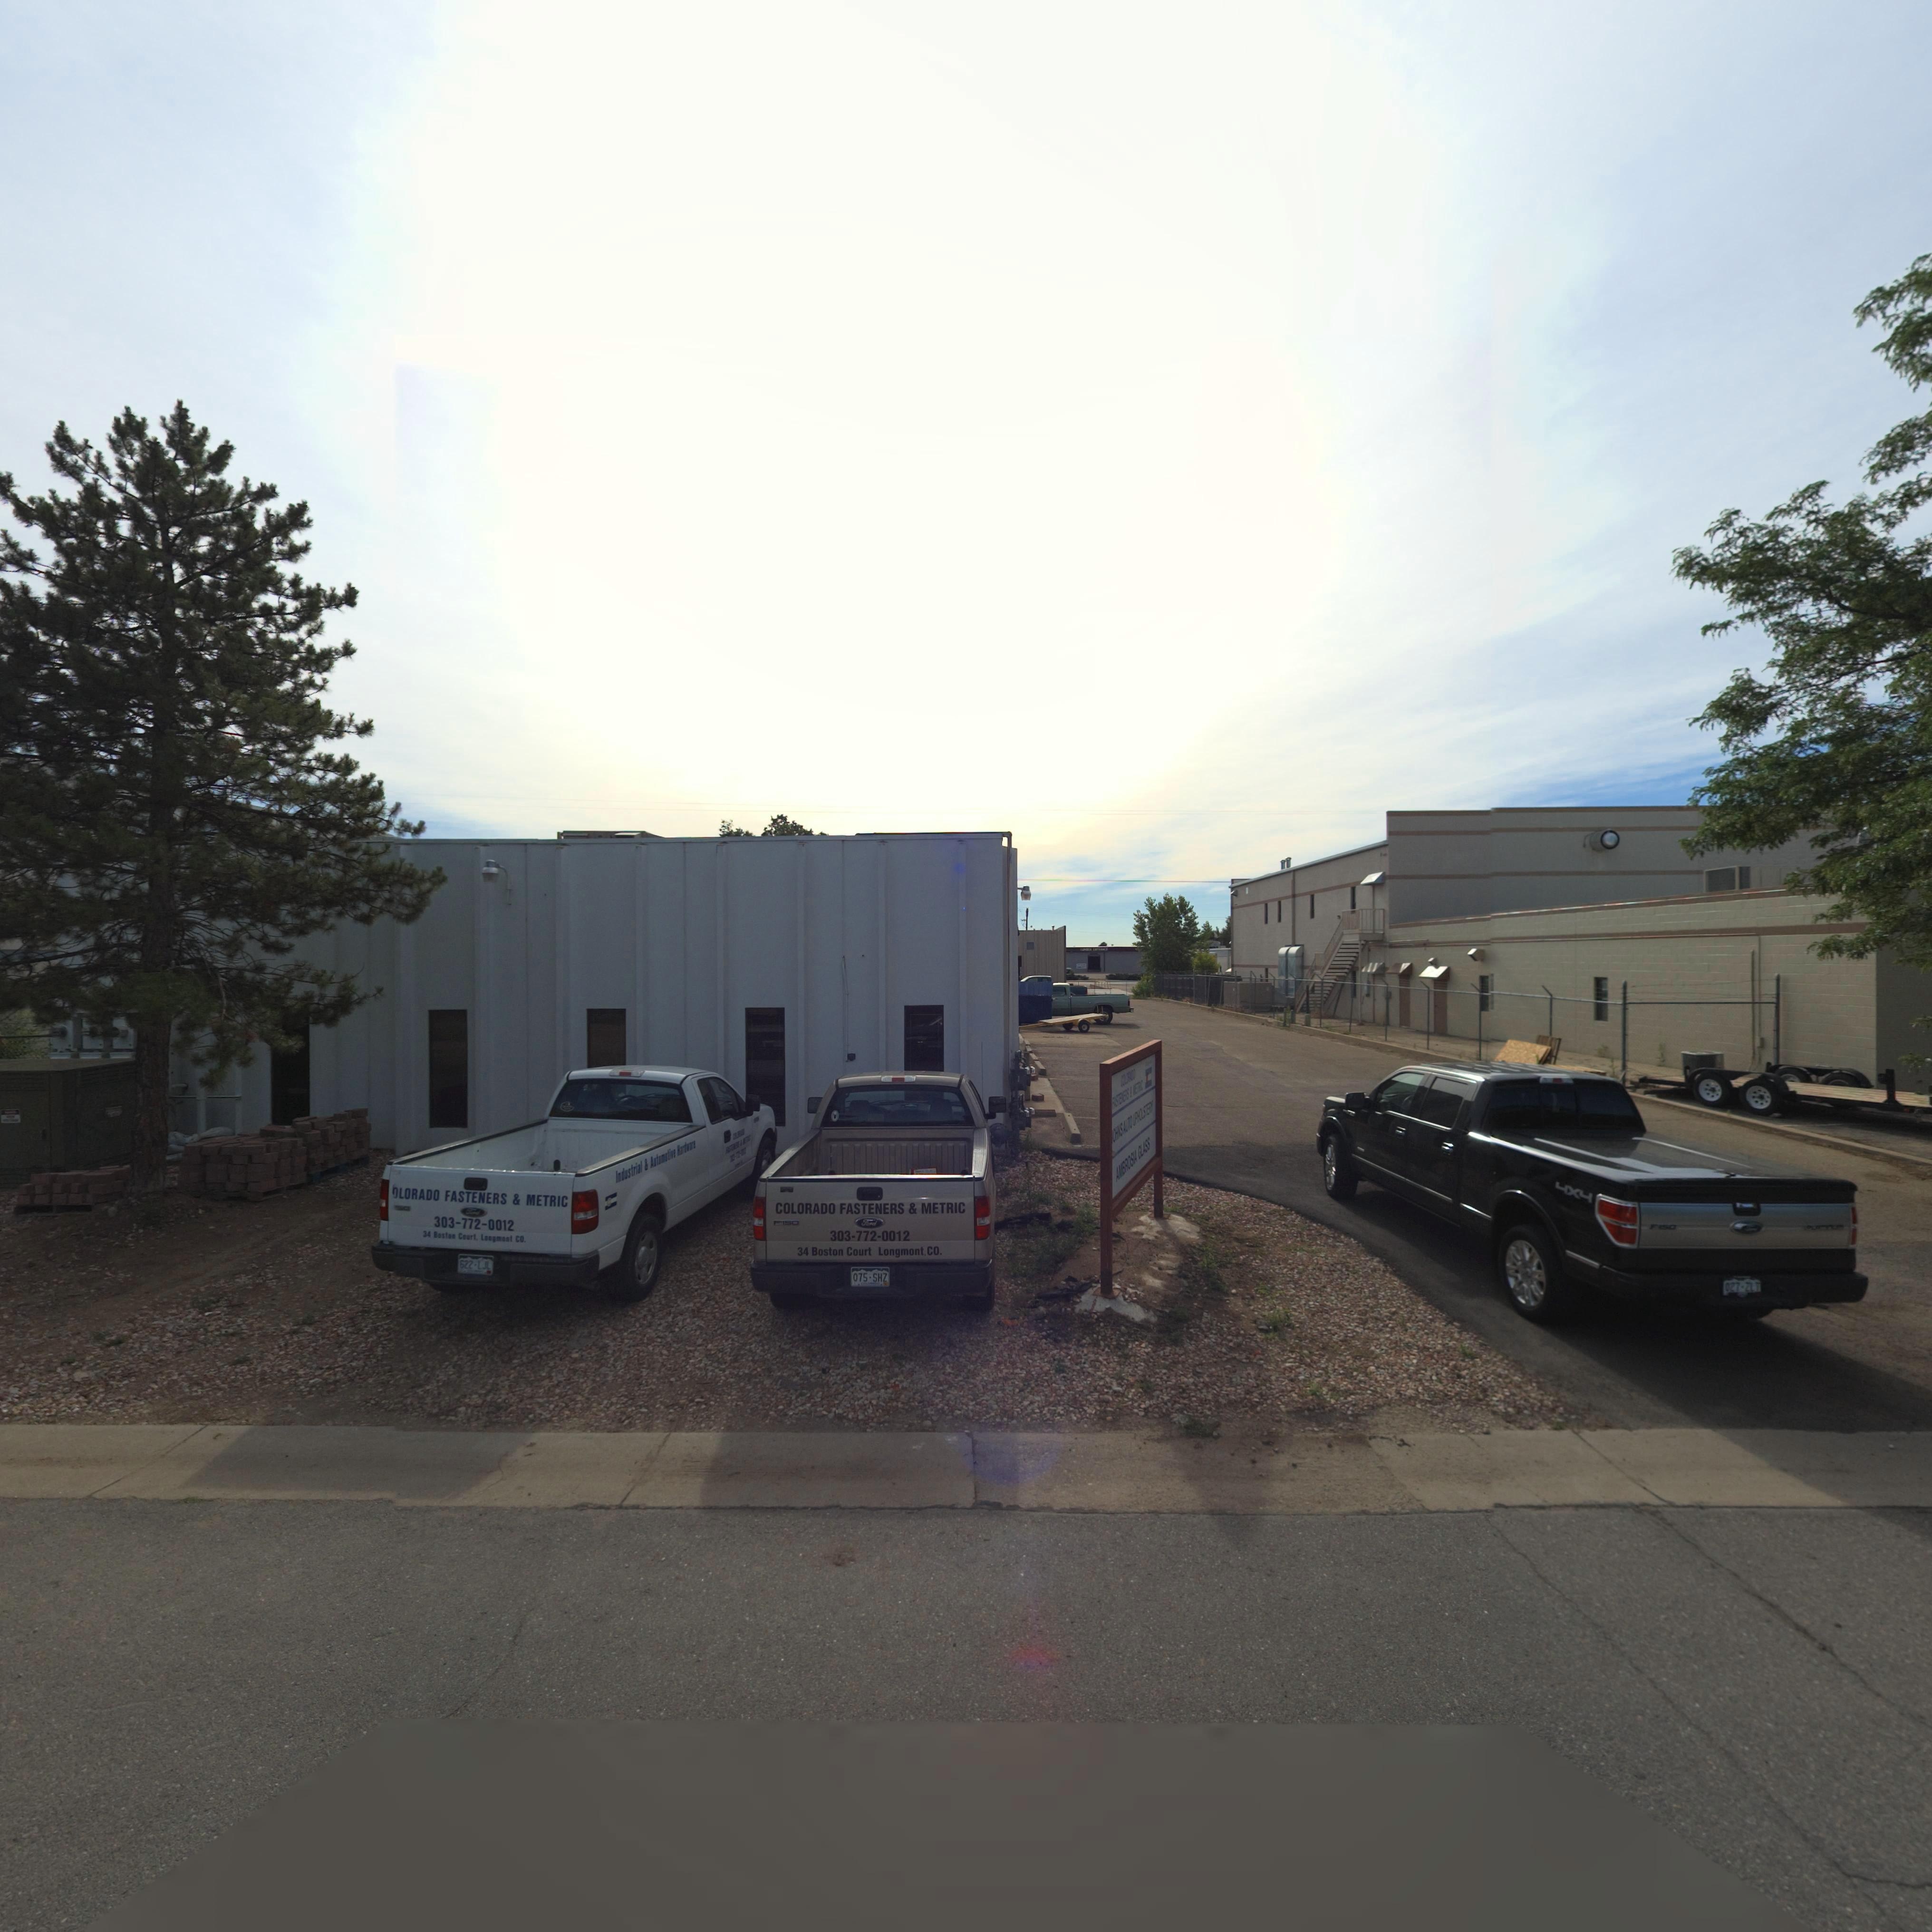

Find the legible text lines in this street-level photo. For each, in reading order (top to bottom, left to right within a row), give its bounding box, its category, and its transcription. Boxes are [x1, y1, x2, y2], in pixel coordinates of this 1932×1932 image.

[1111, 1079, 1143, 1110] BusinessName: FASTENERS * METRIC
[1120, 1068, 1136, 1088] BusinessName: COLORADO
[1112, 1098, 1153, 1143] BusinessName: OHNS AUTO UPOLSTERY
[1115, 1136, 1150, 1184] BusinessName: AMBROSIA GLASS